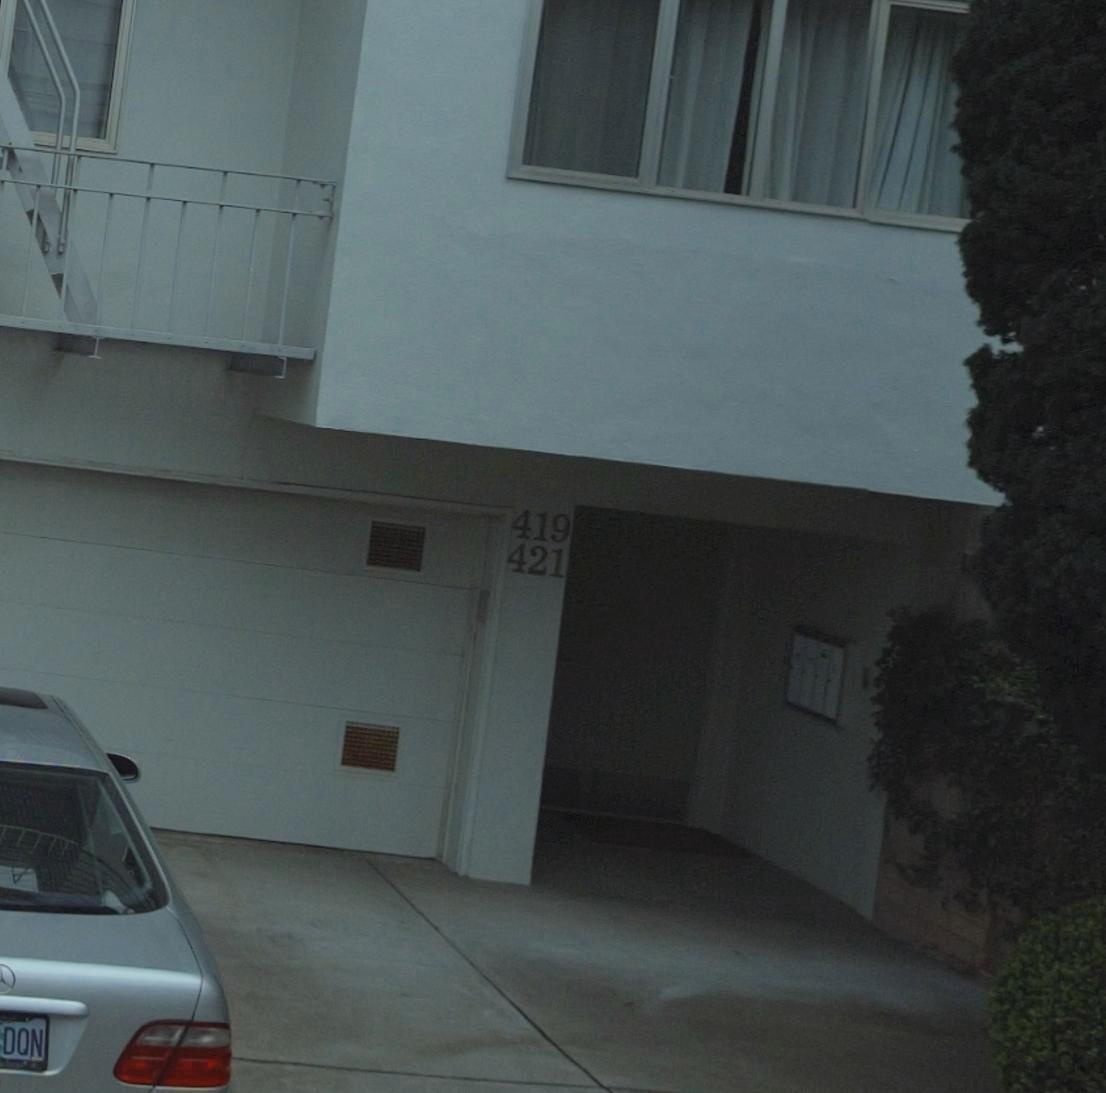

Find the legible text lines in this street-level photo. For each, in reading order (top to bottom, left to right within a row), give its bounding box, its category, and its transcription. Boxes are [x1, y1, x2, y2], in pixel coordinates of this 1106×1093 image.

[508, 507, 572, 544] StreetNumber: 419
[504, 540, 567, 580] StreetNumber: 421
[1, 1026, 44, 1058] None: DQN